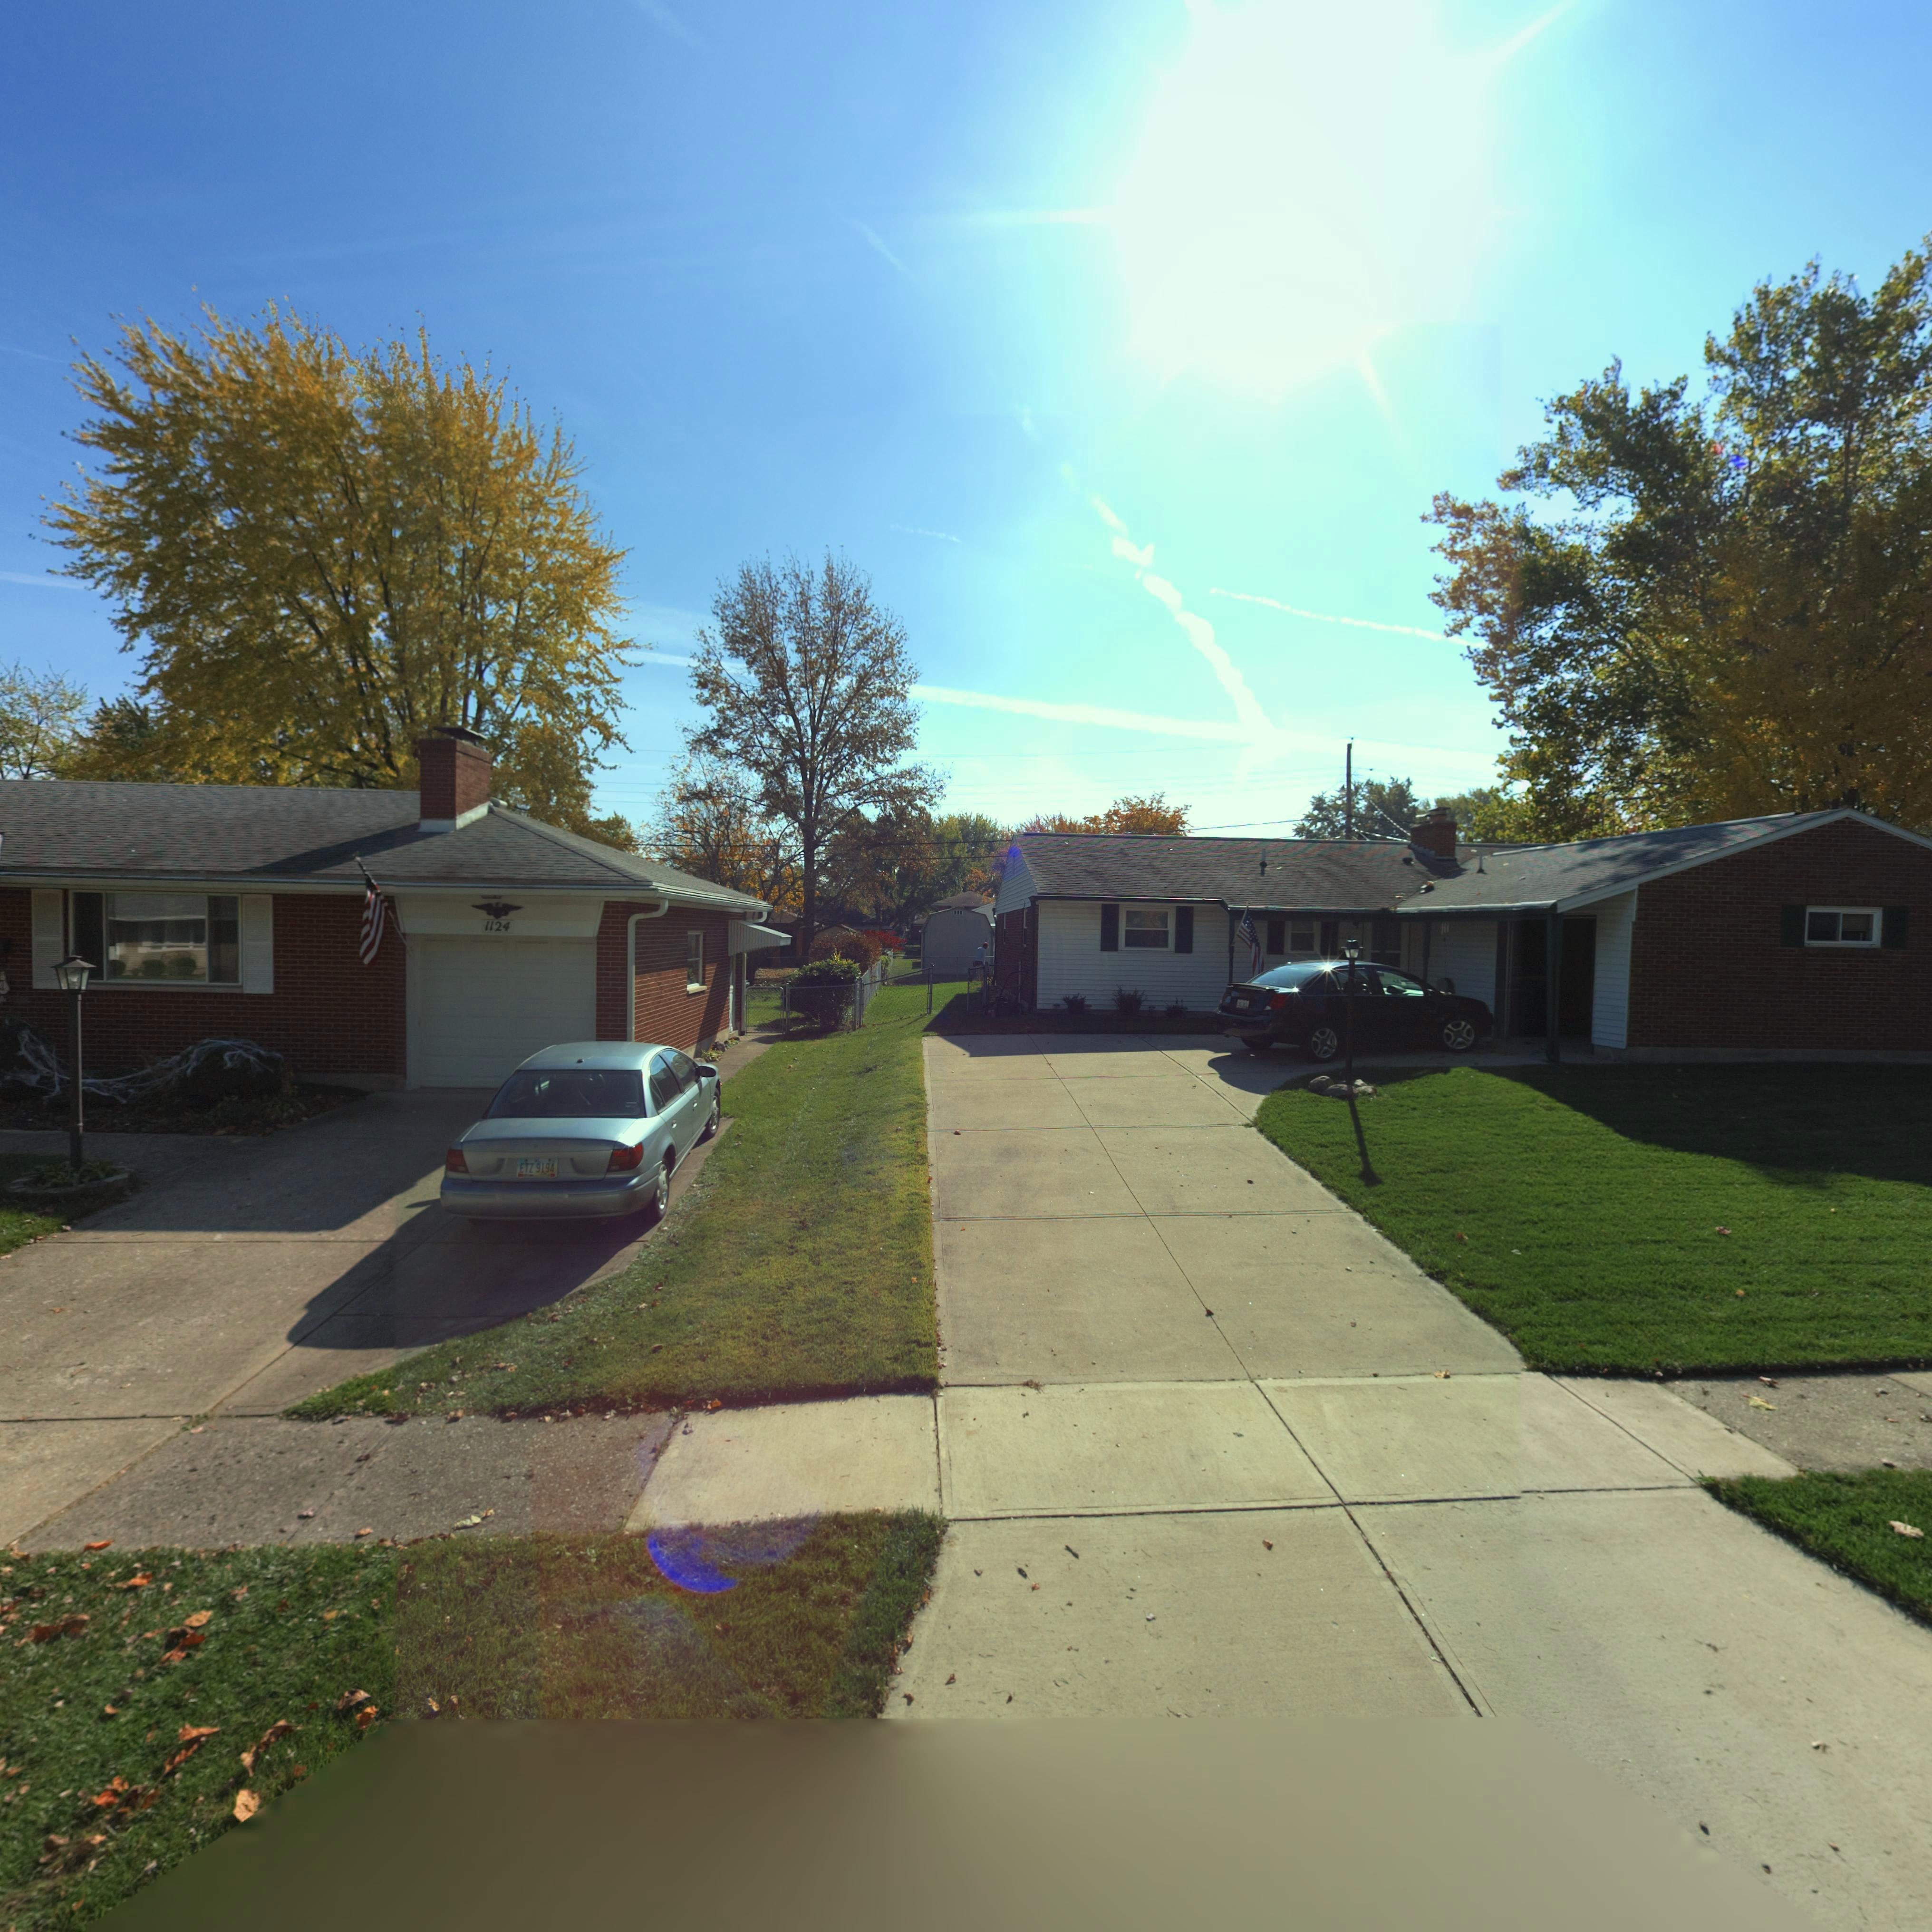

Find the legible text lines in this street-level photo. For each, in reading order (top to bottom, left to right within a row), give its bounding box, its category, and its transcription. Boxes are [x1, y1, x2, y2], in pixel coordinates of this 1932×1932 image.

[483, 919, 512, 933] StreetNumber: 1124